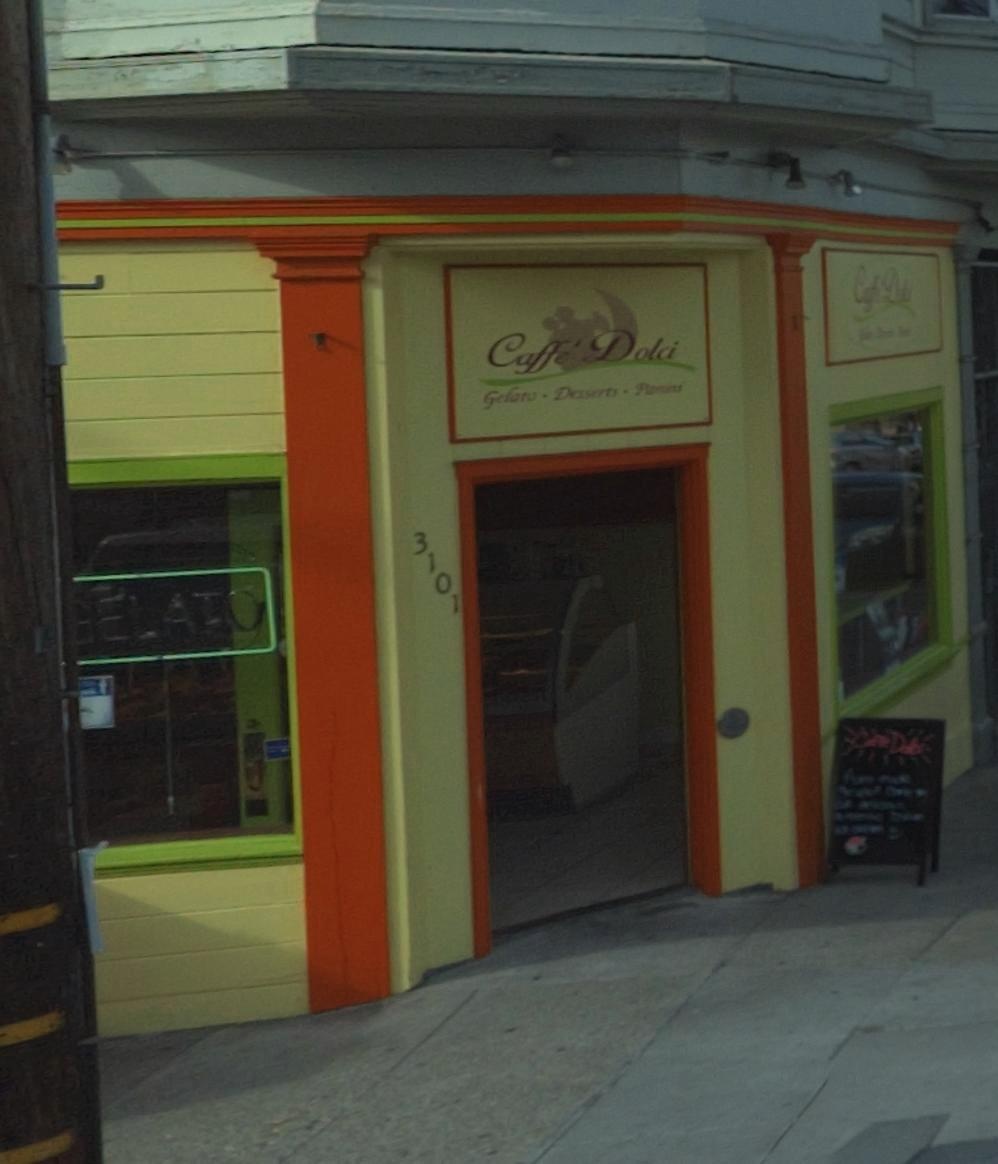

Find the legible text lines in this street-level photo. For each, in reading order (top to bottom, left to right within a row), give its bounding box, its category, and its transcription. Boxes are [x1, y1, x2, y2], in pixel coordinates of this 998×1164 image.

[480, 324, 686, 380] BusinessName: Caffe Dolci
[478, 378, 653, 413] None: Gelato * Desserts * P
[410, 528, 462, 617] StreetNumber: 3101
[89, 579, 270, 649] None: ELATO
[847, 728, 873, 753] None: C
[885, 729, 911, 758] None: D